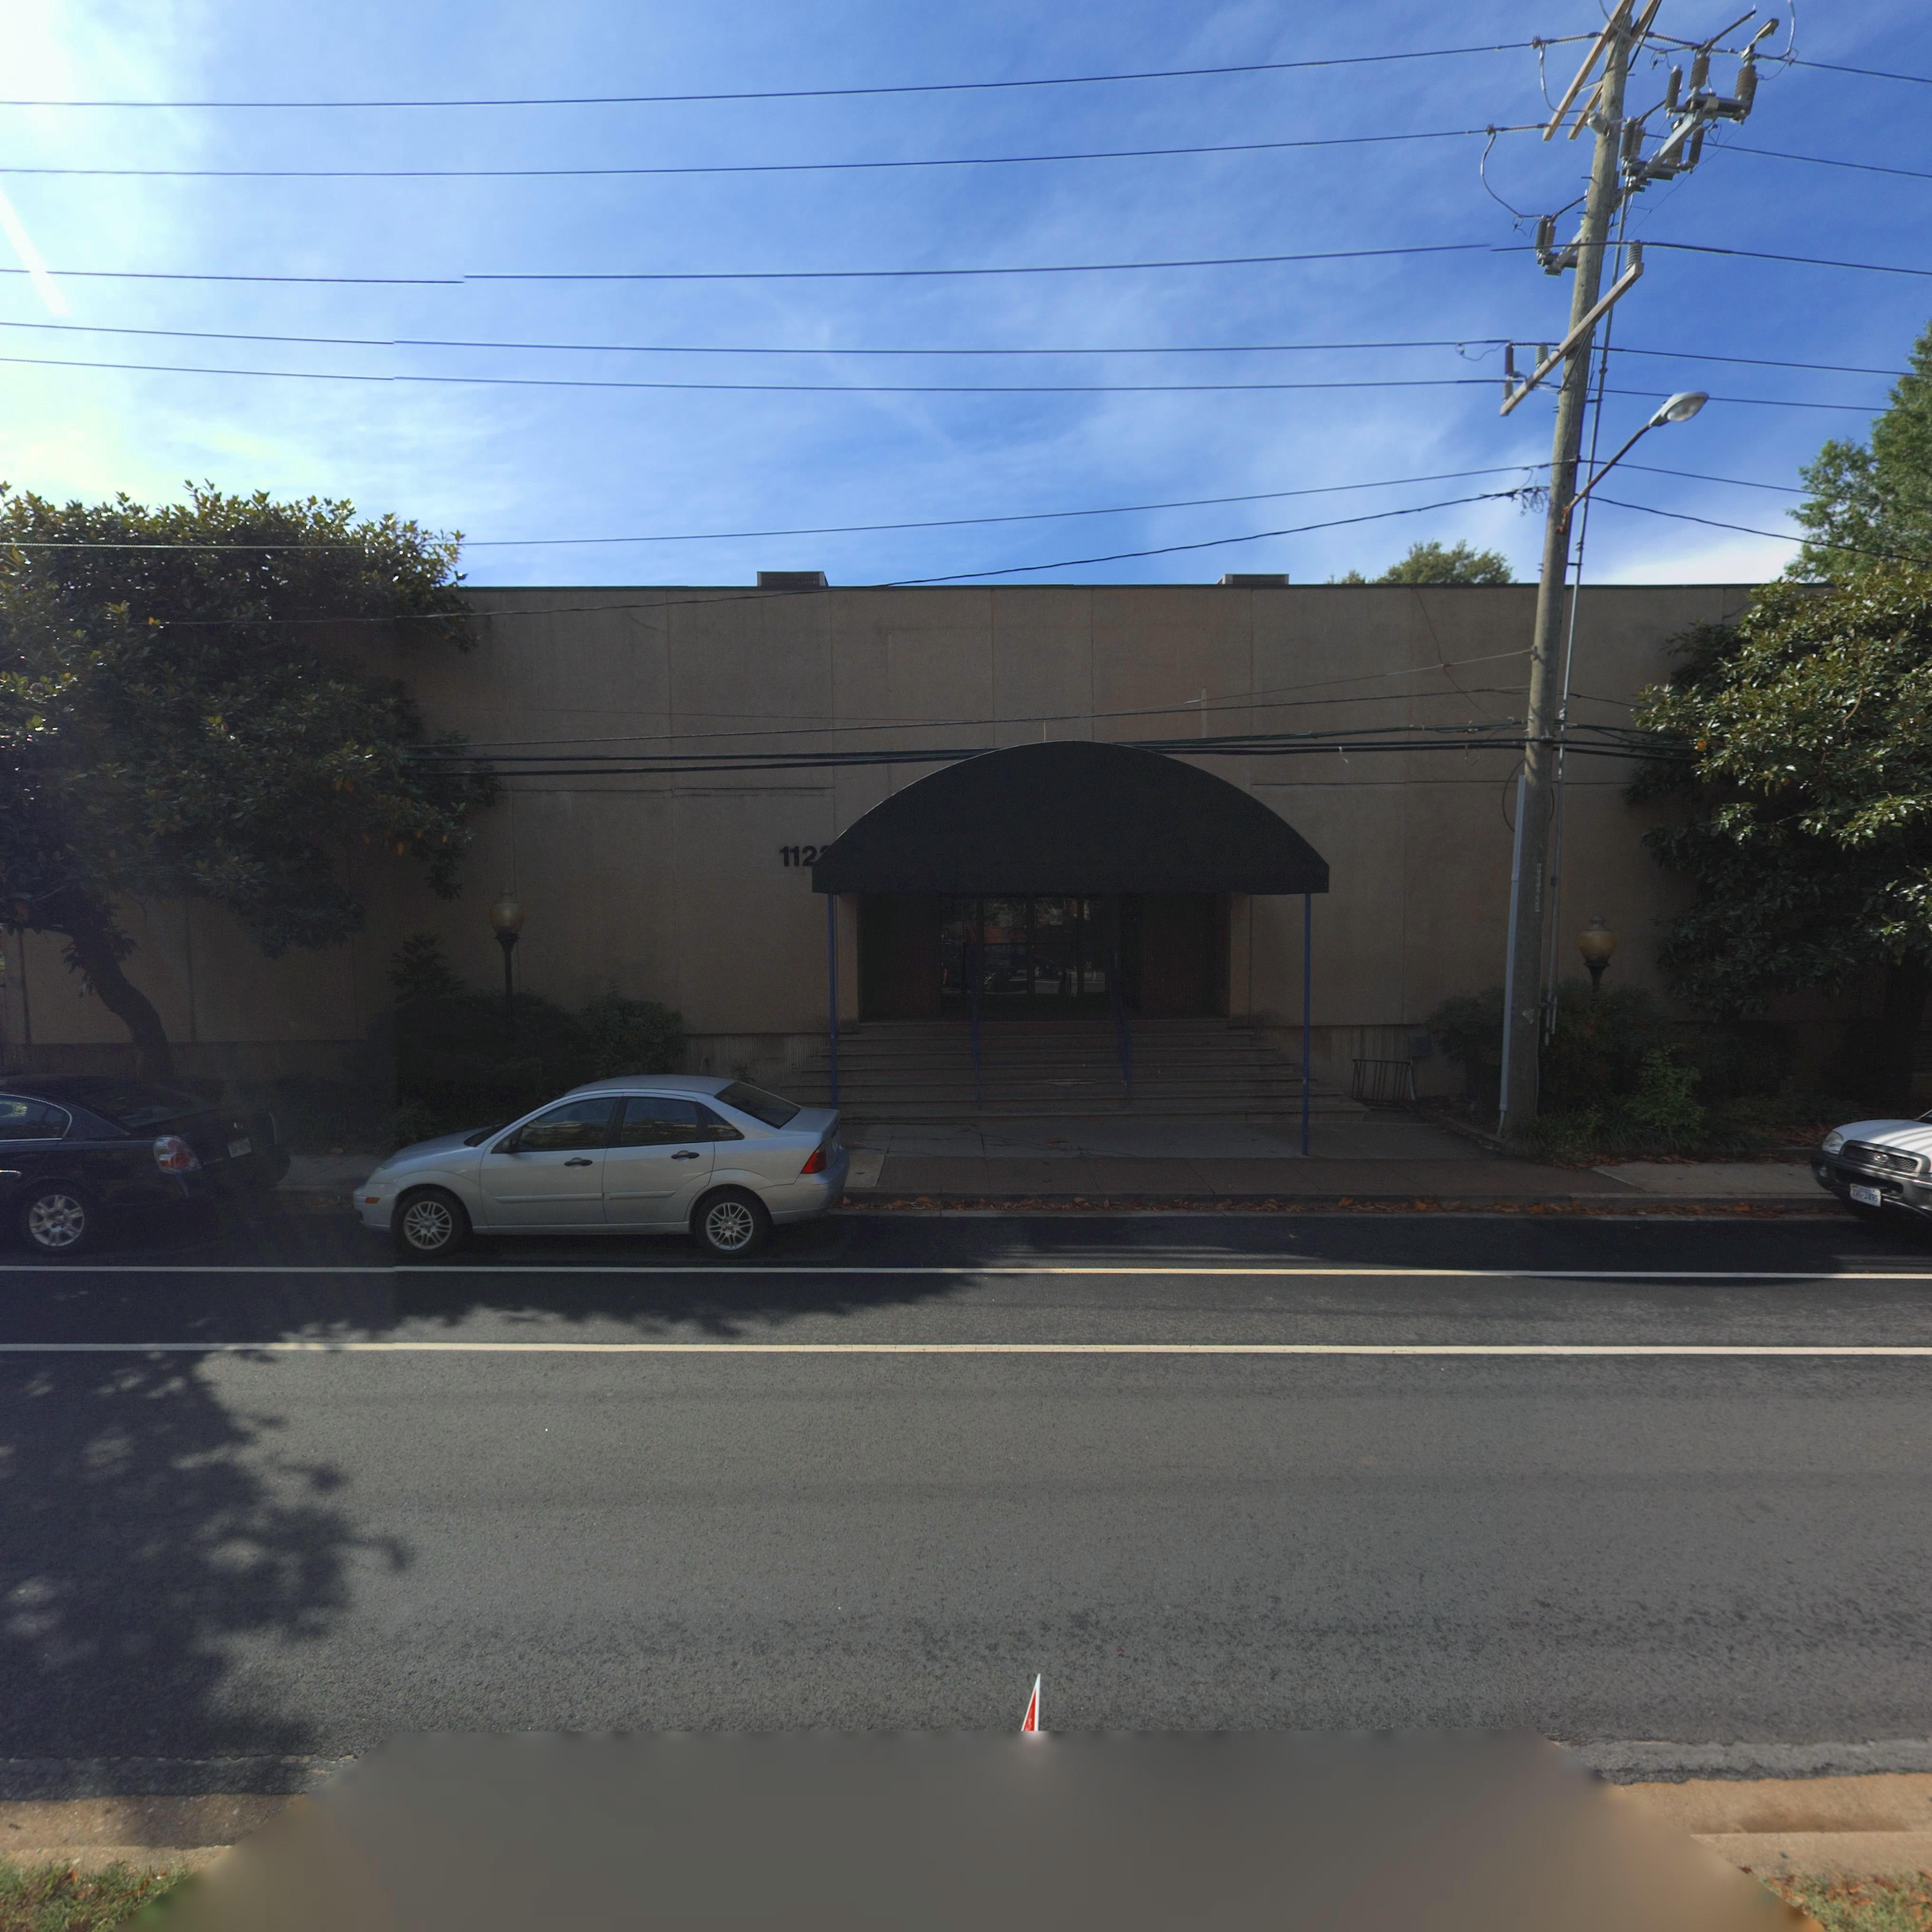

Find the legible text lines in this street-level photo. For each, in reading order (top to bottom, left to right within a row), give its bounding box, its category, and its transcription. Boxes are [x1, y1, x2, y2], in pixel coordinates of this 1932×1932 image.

[778, 845, 836, 868] StreetNumber: 112*
[238, 1141, 248, 1152] None: 437
[1867, 1193, 1878, 1203] None: 4*3